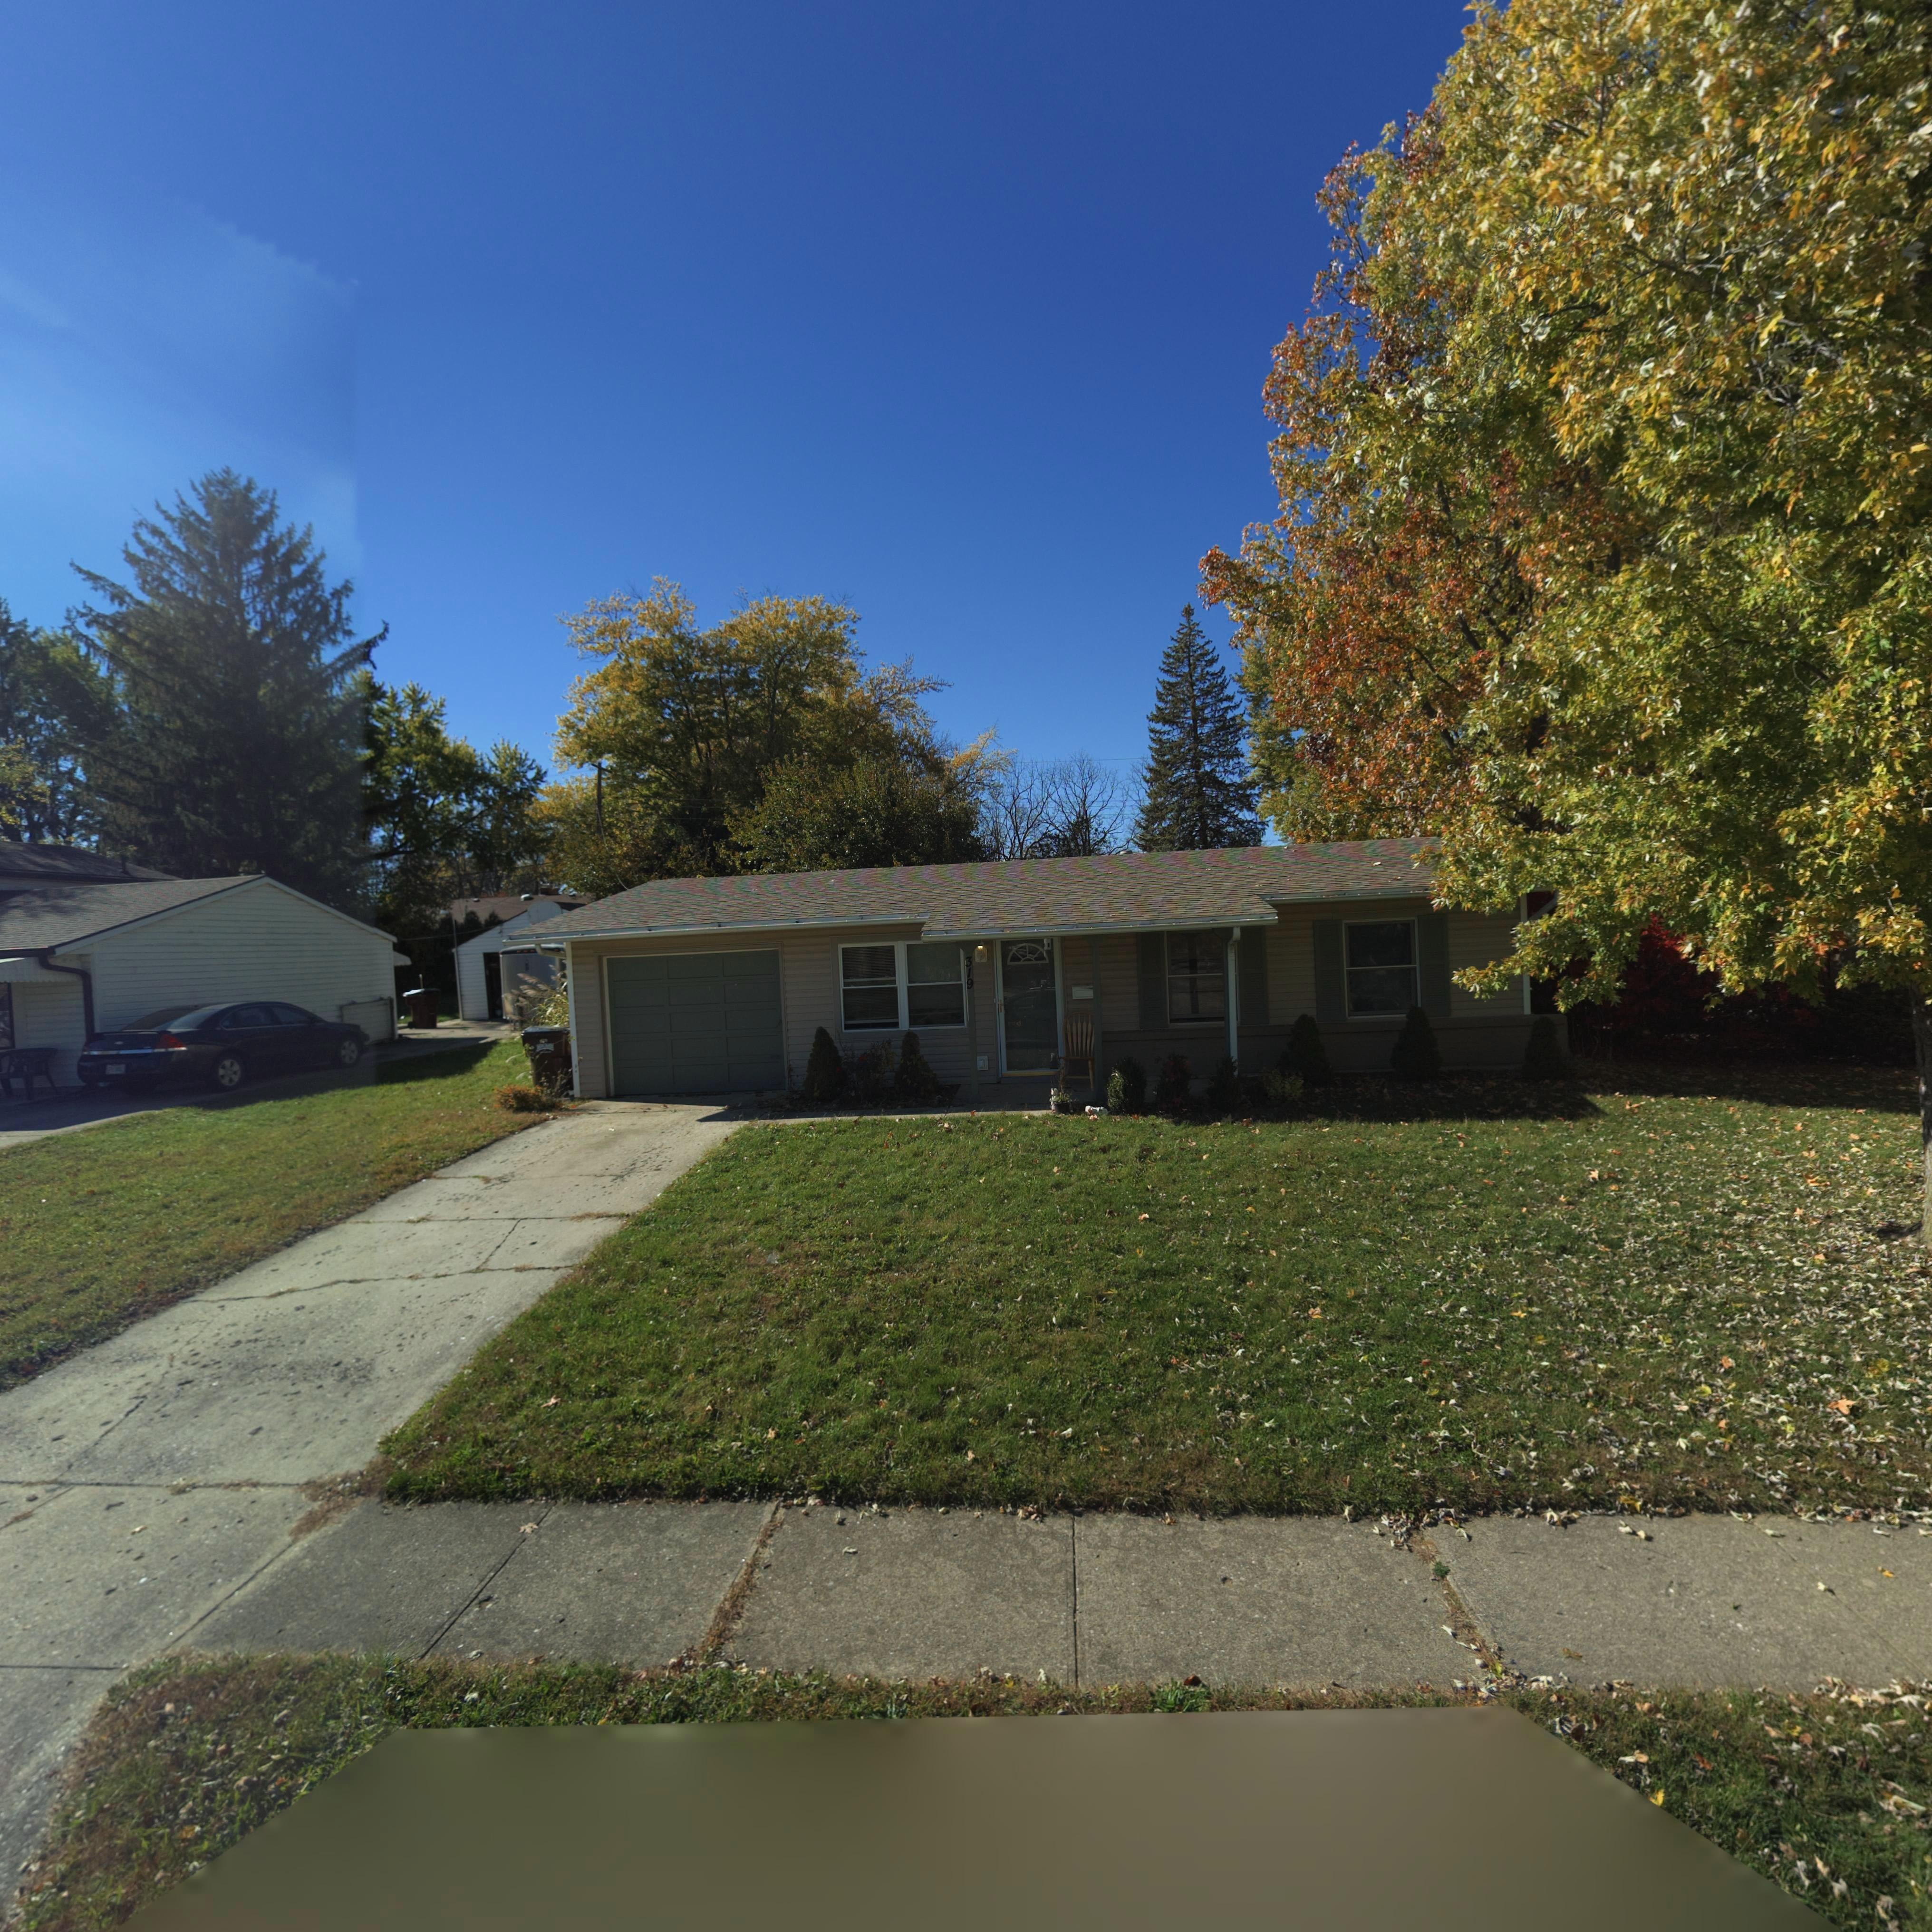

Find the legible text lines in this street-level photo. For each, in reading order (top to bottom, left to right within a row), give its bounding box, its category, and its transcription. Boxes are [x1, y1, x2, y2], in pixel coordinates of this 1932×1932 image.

[964, 955, 975, 991] StreetNumber: 319